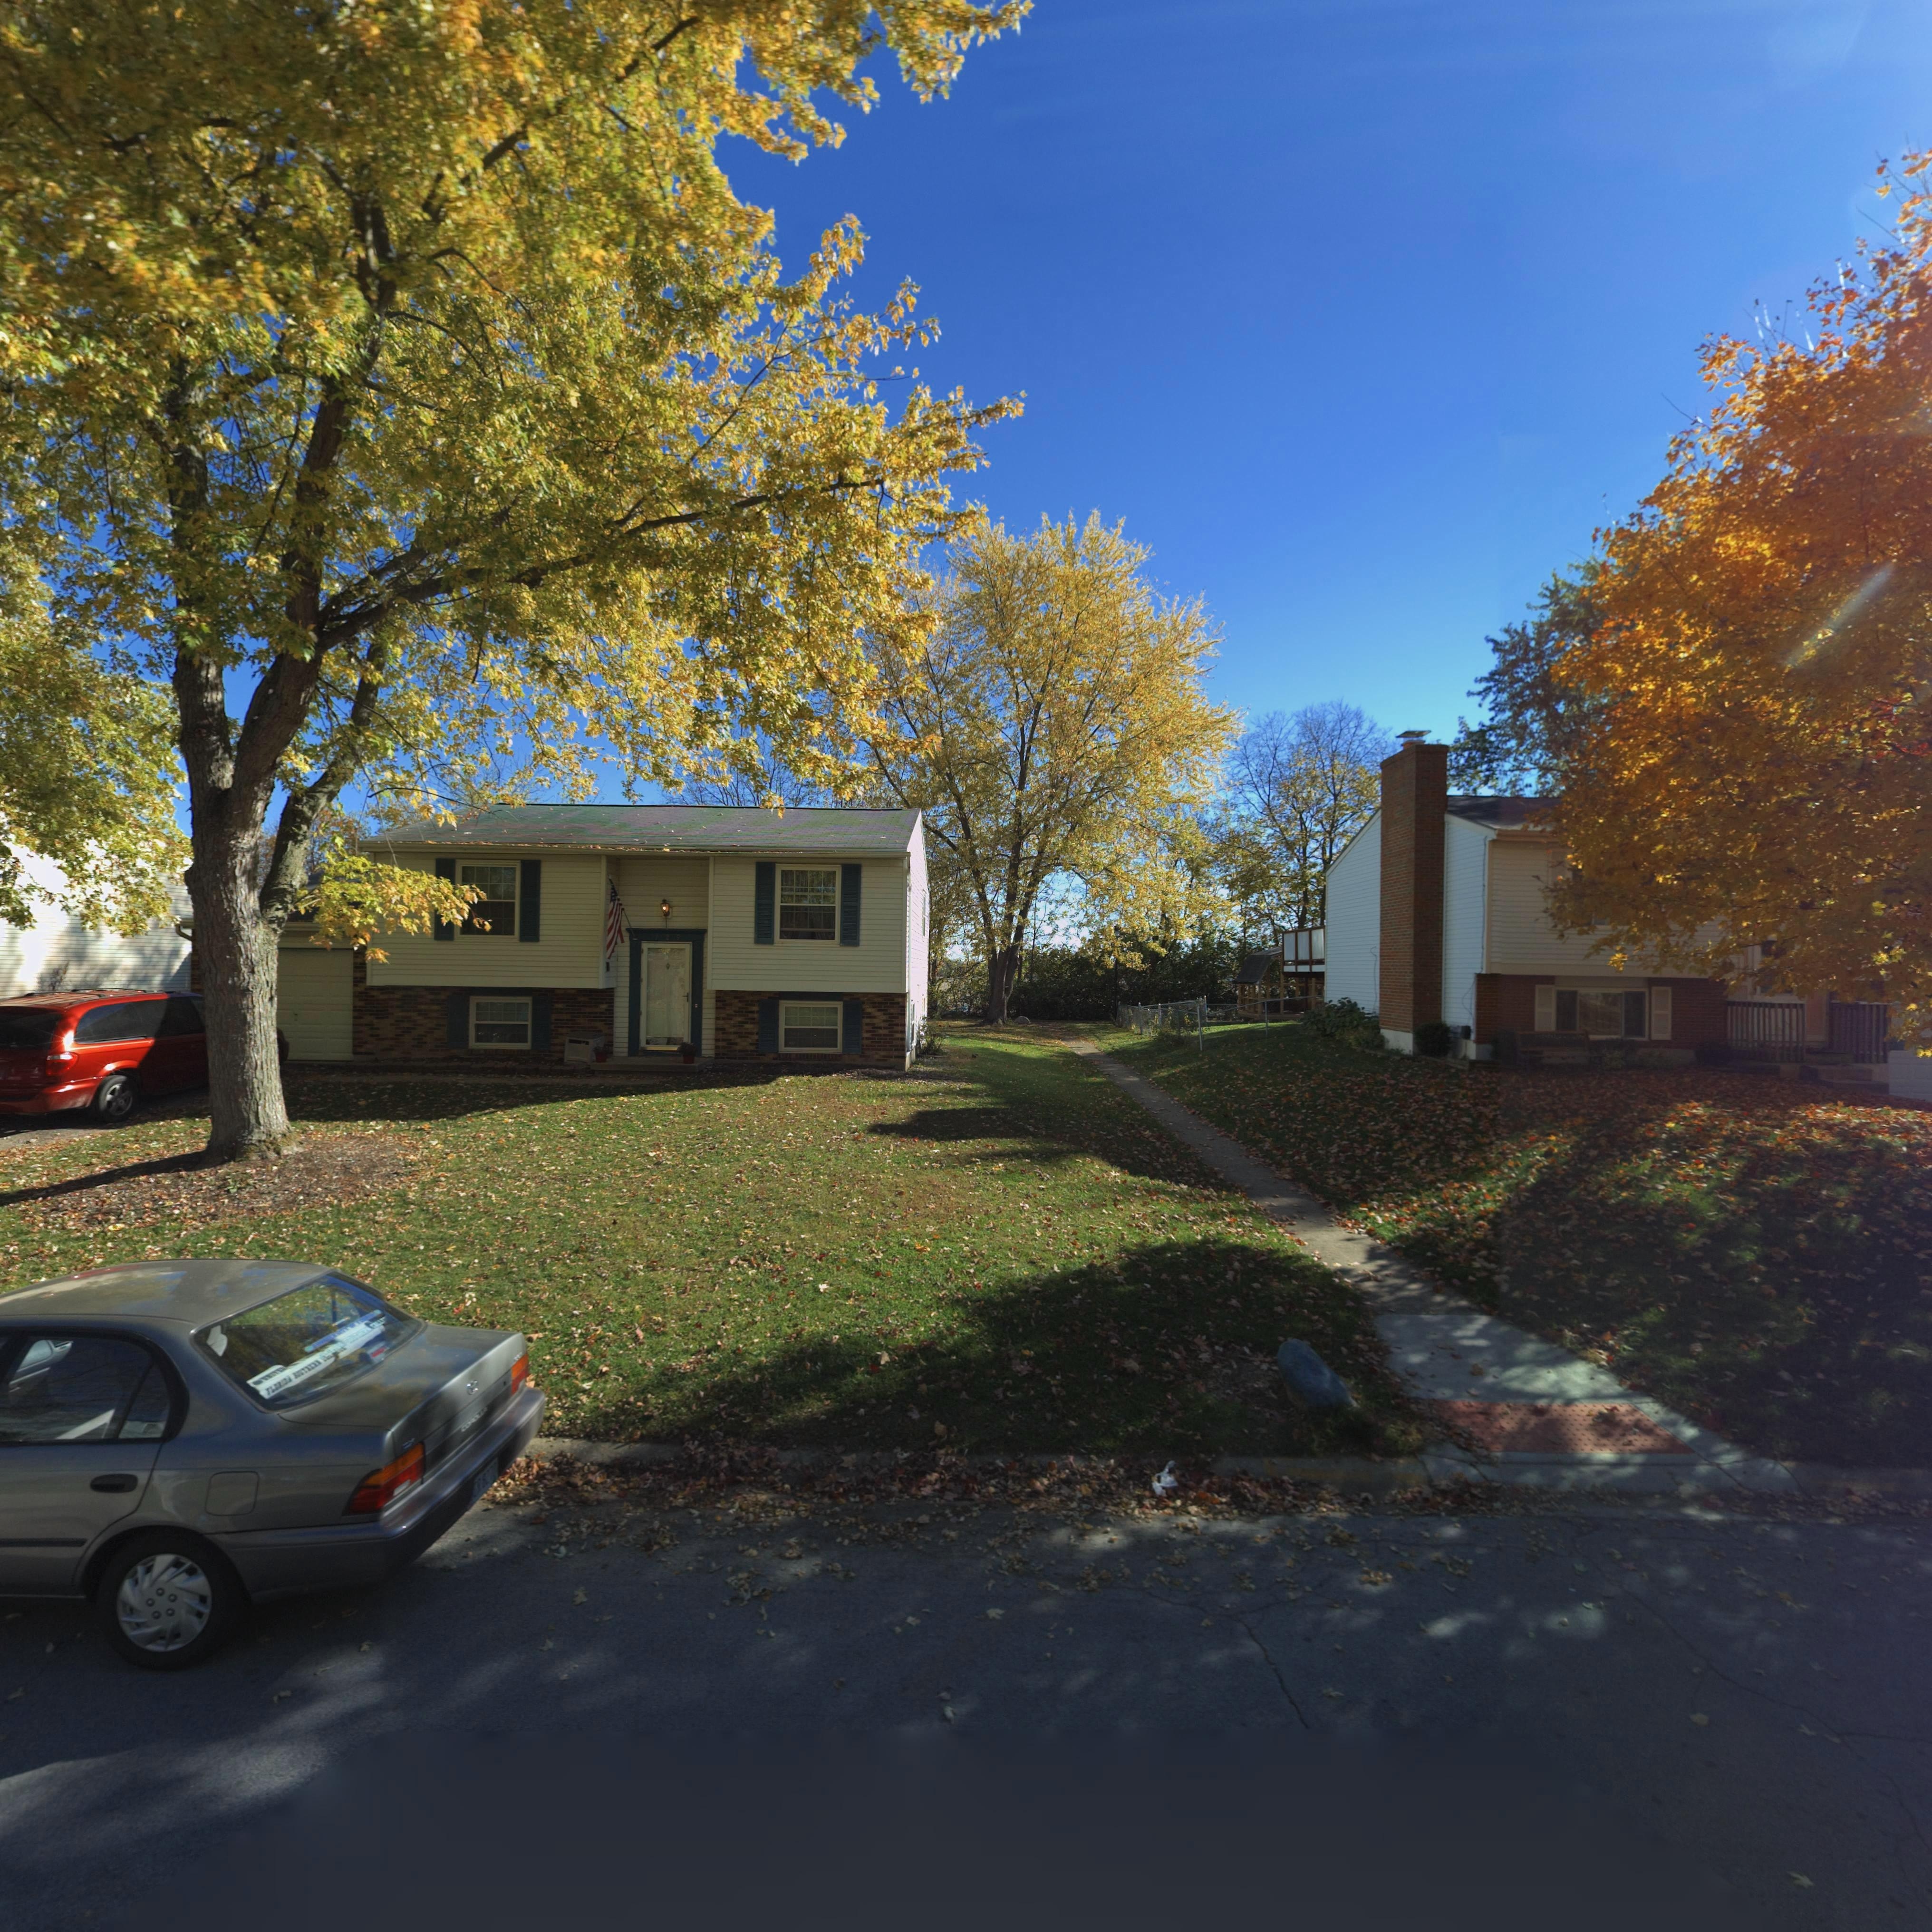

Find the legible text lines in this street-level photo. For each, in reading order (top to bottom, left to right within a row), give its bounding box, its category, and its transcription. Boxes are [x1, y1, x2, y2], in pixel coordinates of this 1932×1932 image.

[654, 933, 682, 941] StreetNumber: 129